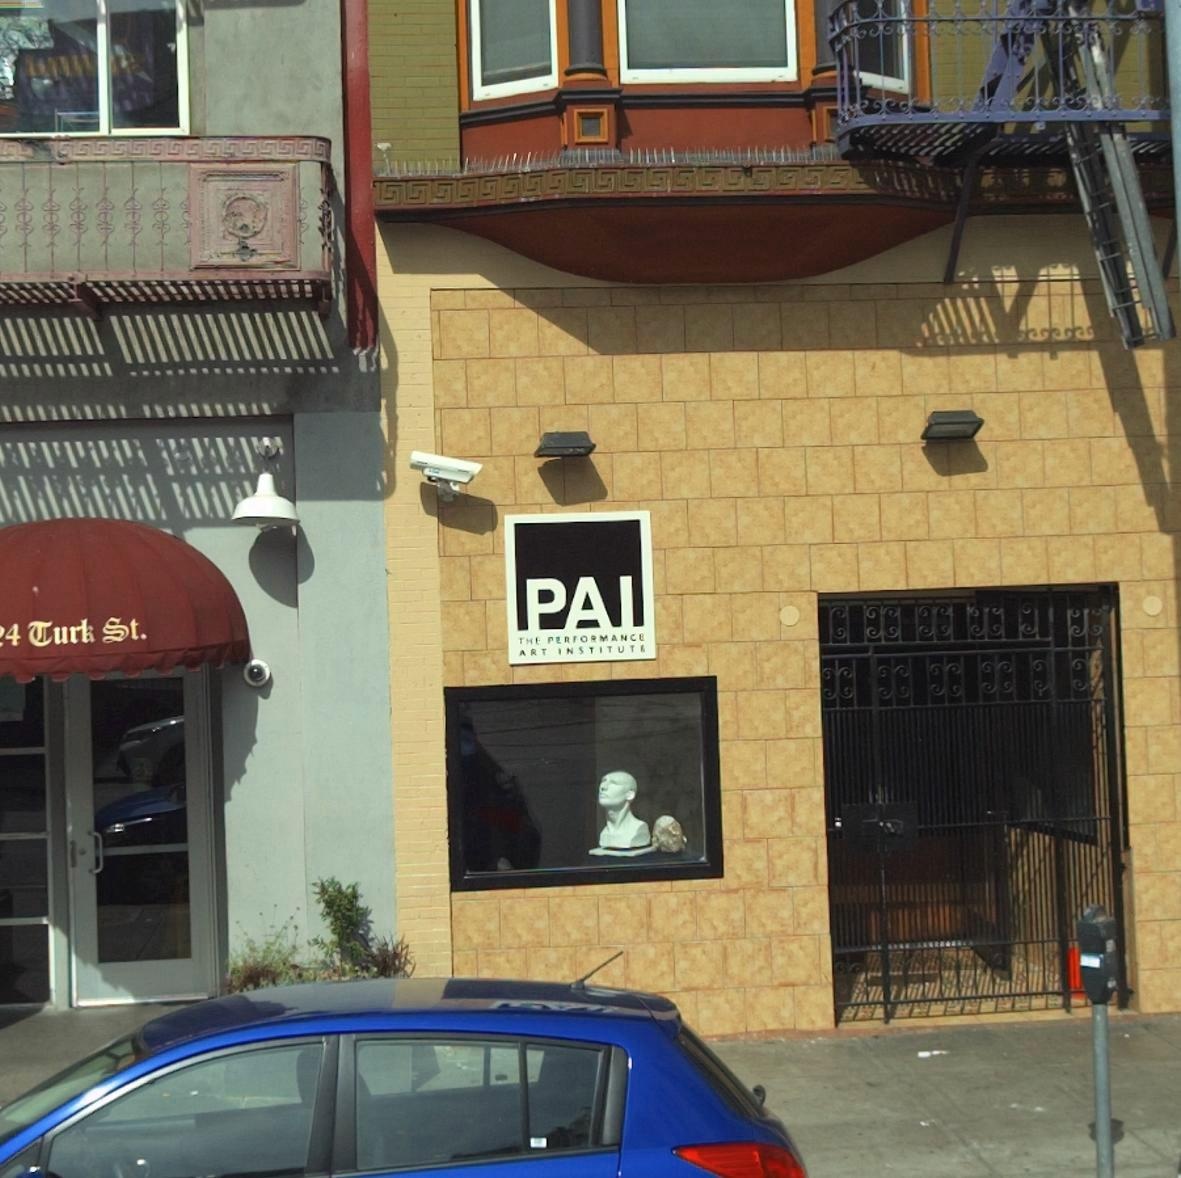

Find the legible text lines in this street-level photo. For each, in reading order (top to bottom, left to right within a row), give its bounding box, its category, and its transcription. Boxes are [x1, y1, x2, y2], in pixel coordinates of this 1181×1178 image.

[524, 574, 637, 630] BusinessName: PAI
[1, 620, 23, 650] StreetNumber: 4
[26, 614, 150, 650] StreetName: Turk St.
[516, 631, 648, 647] BusinessName: THE PERFORMANCE
[518, 643, 648, 659] BusinessName: ART INSTITUTE